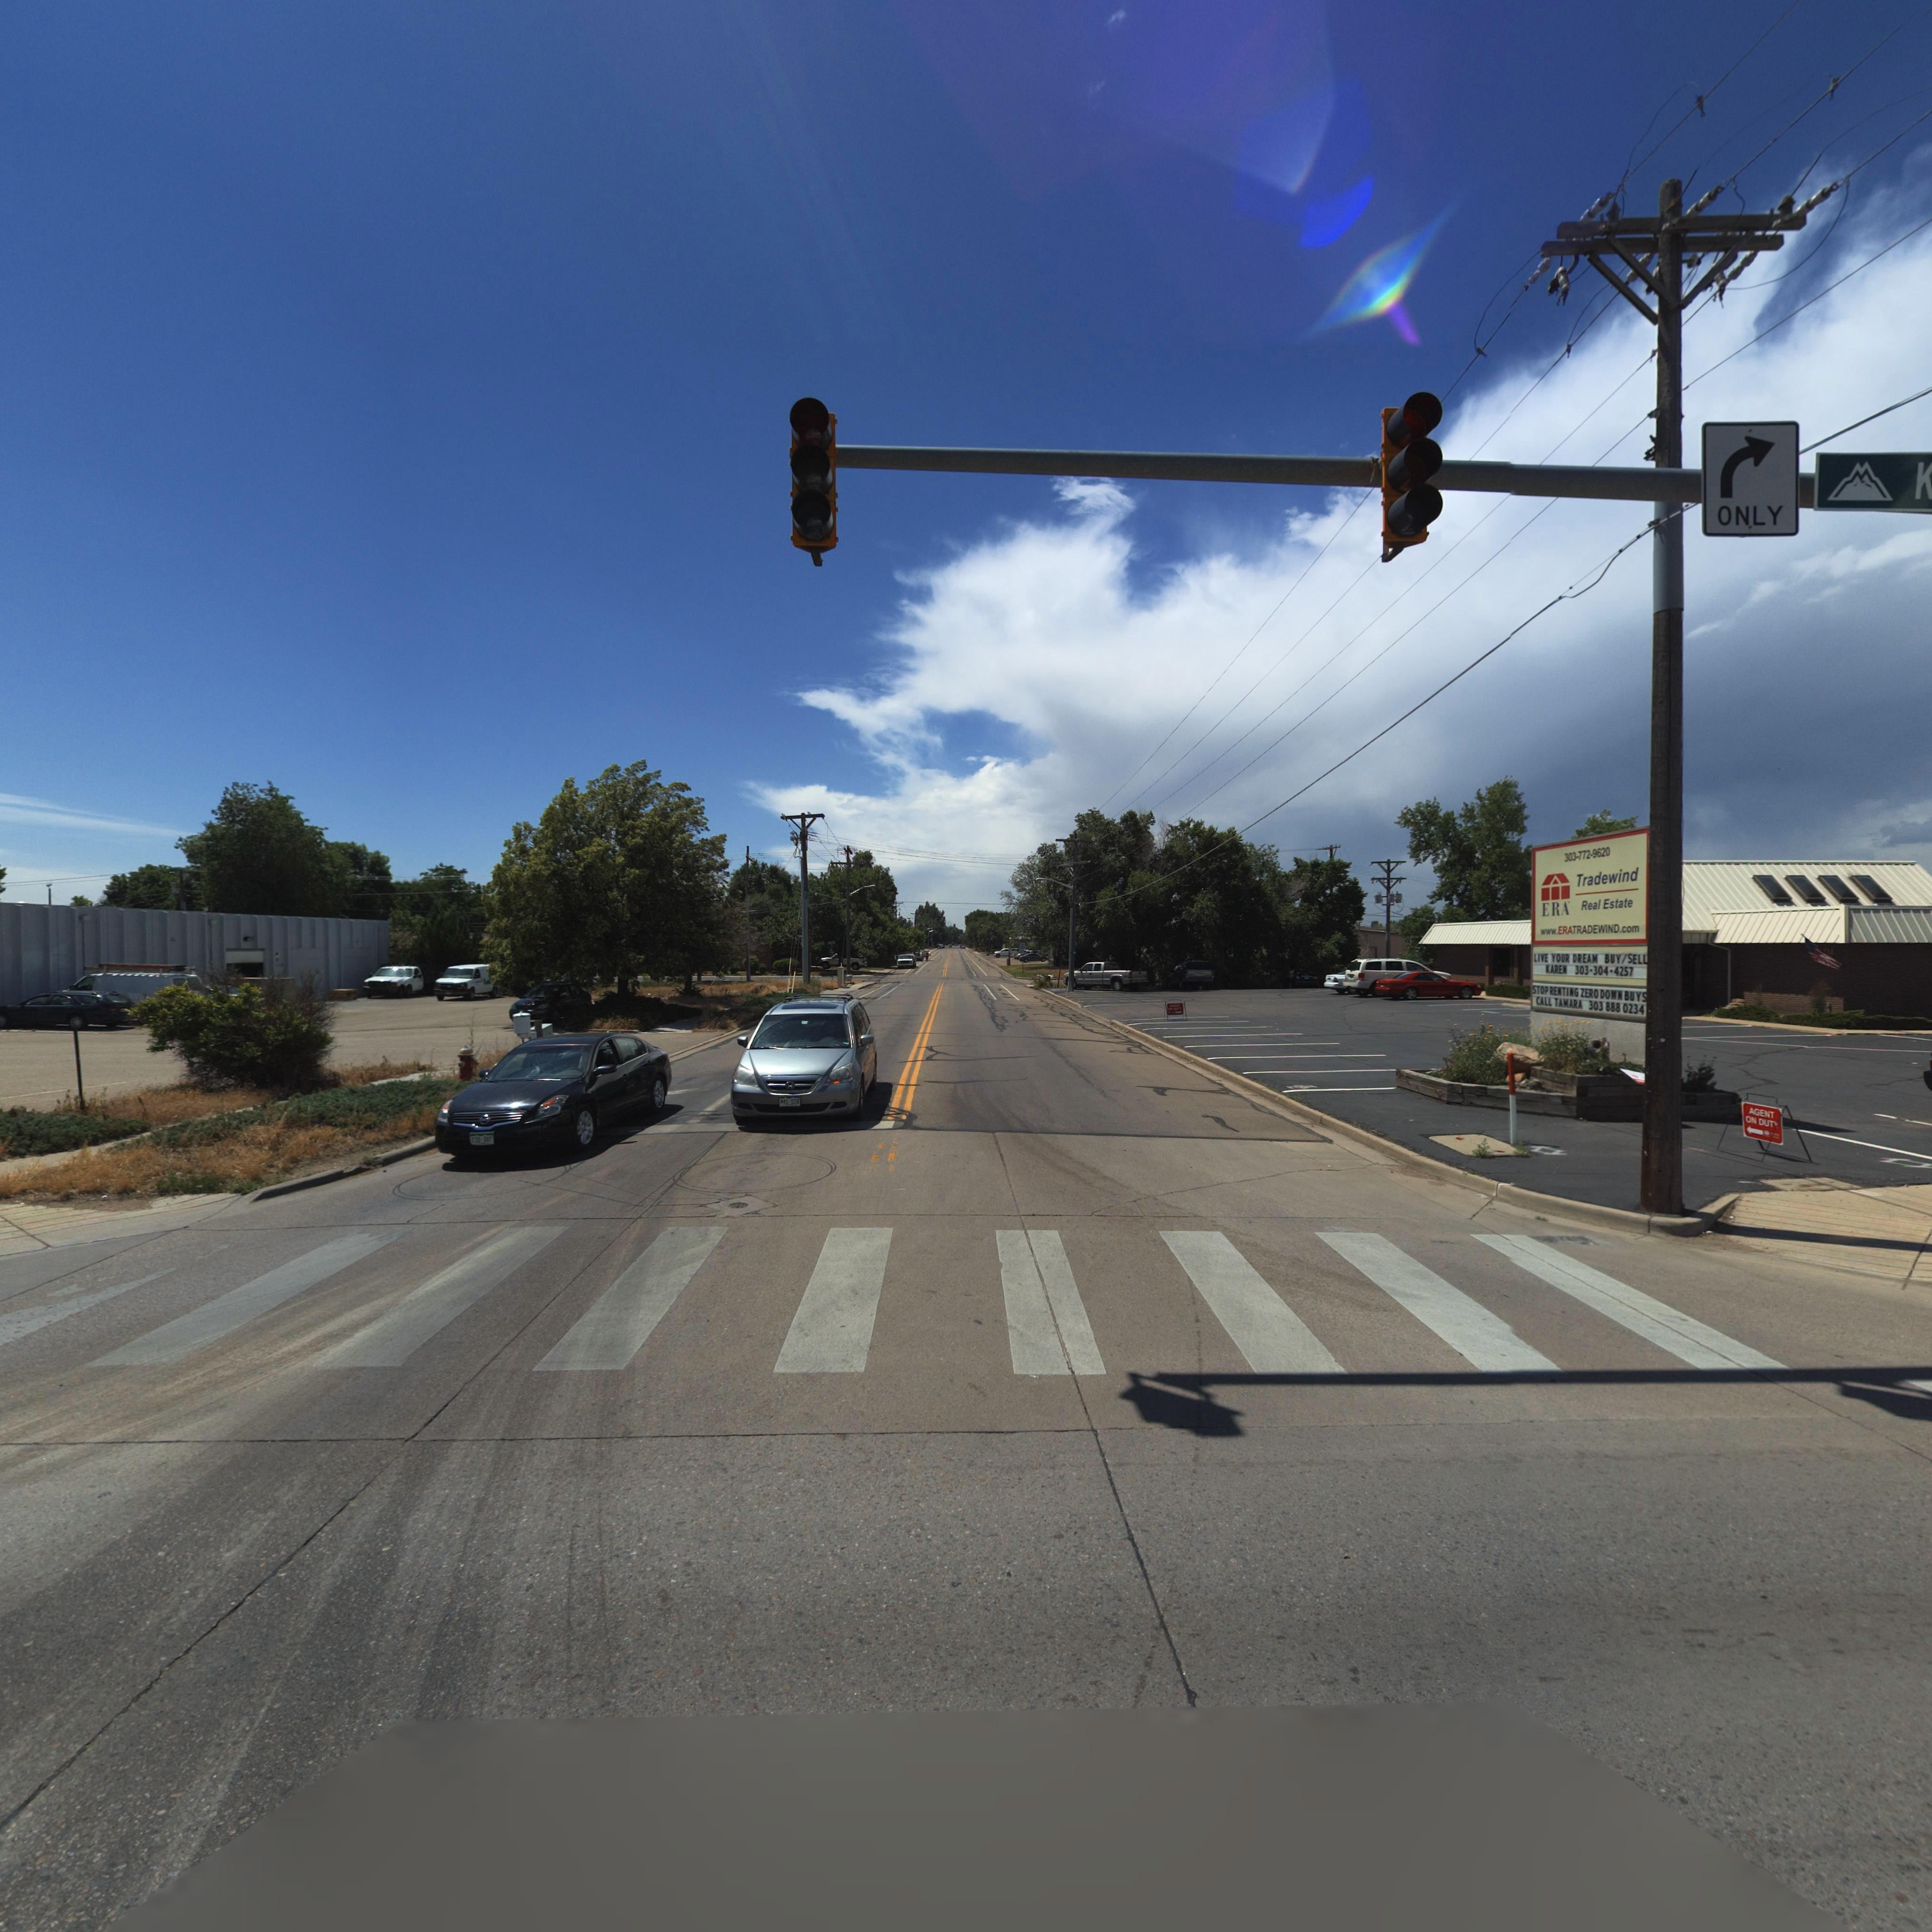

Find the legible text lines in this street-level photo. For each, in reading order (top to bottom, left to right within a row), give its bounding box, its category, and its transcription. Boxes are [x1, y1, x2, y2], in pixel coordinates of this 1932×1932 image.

[1576, 866, 1639, 887] StreetName: Tradewind
[1541, 901, 1570, 917] BusinessName: ERA
[1581, 898, 1633, 910] BusinessName: Real Estate